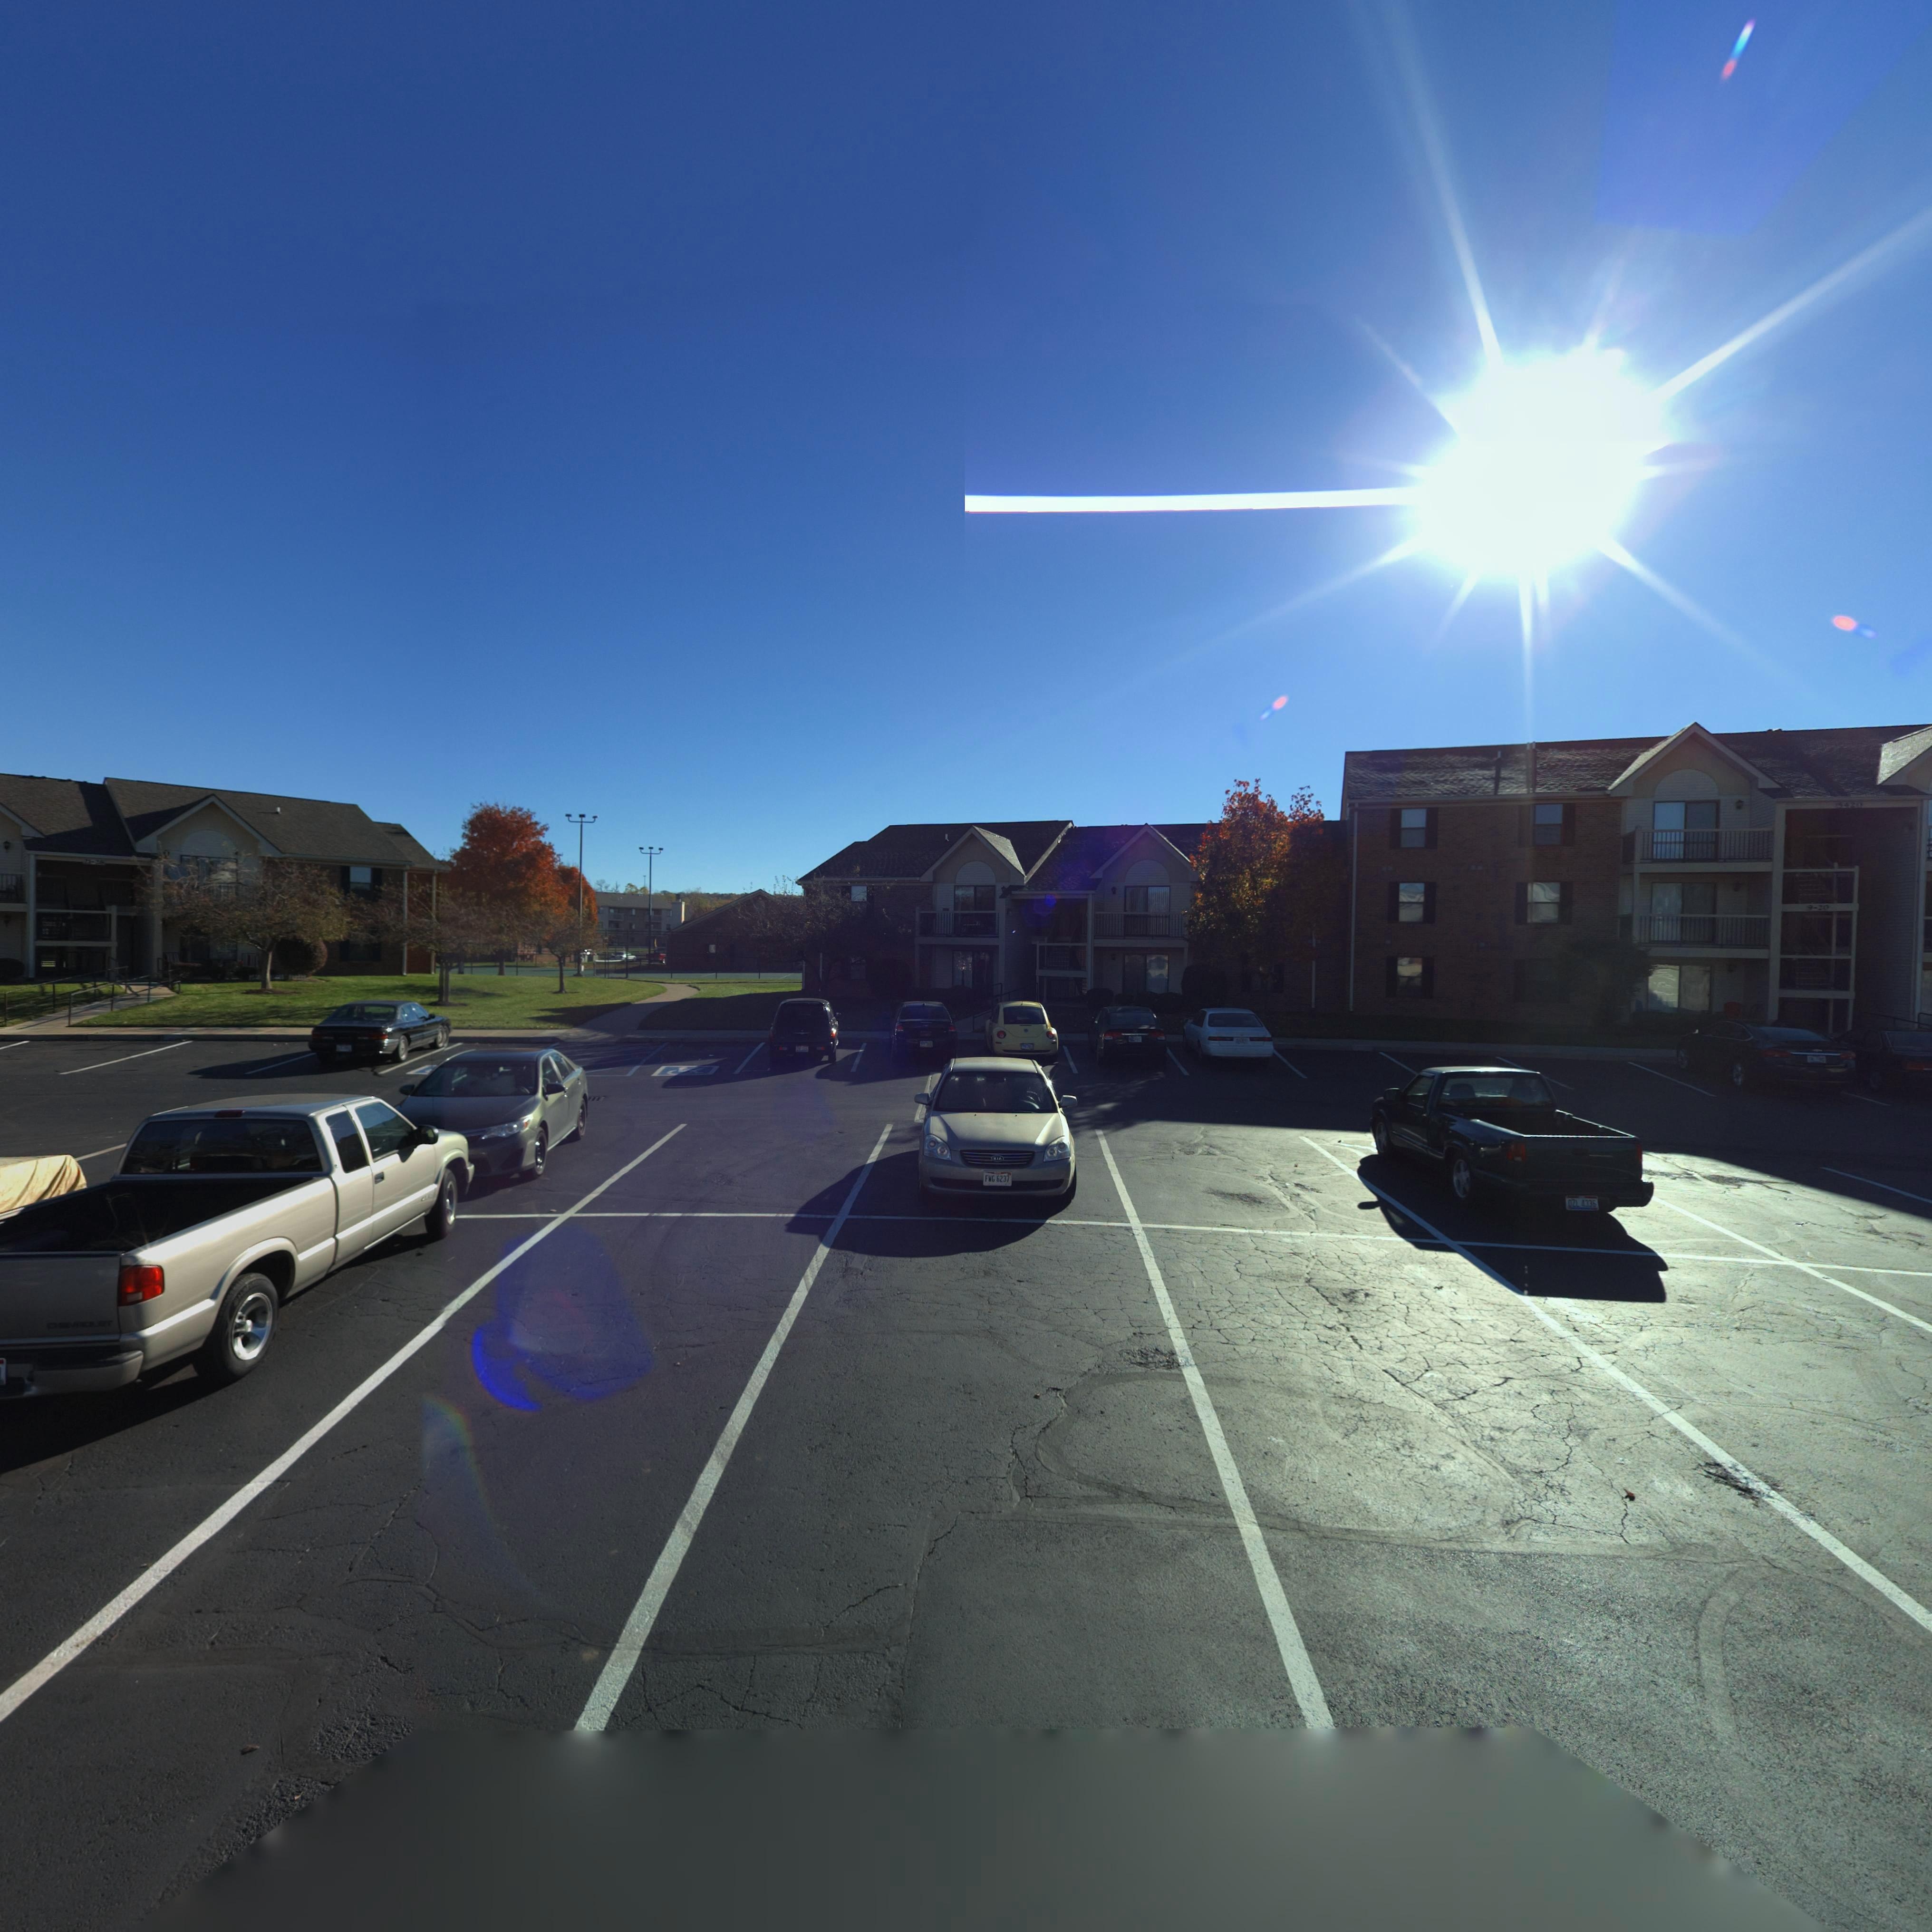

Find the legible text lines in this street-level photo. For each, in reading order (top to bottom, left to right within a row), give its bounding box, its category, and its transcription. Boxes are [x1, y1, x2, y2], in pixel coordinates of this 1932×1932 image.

[1837, 801, 1862, 808] StreetNumber: 5420
[1043, 893, 1052, 898] StreetNumber: 1-8
[1806, 903, 1829, 911] StreetNumber: 9-20